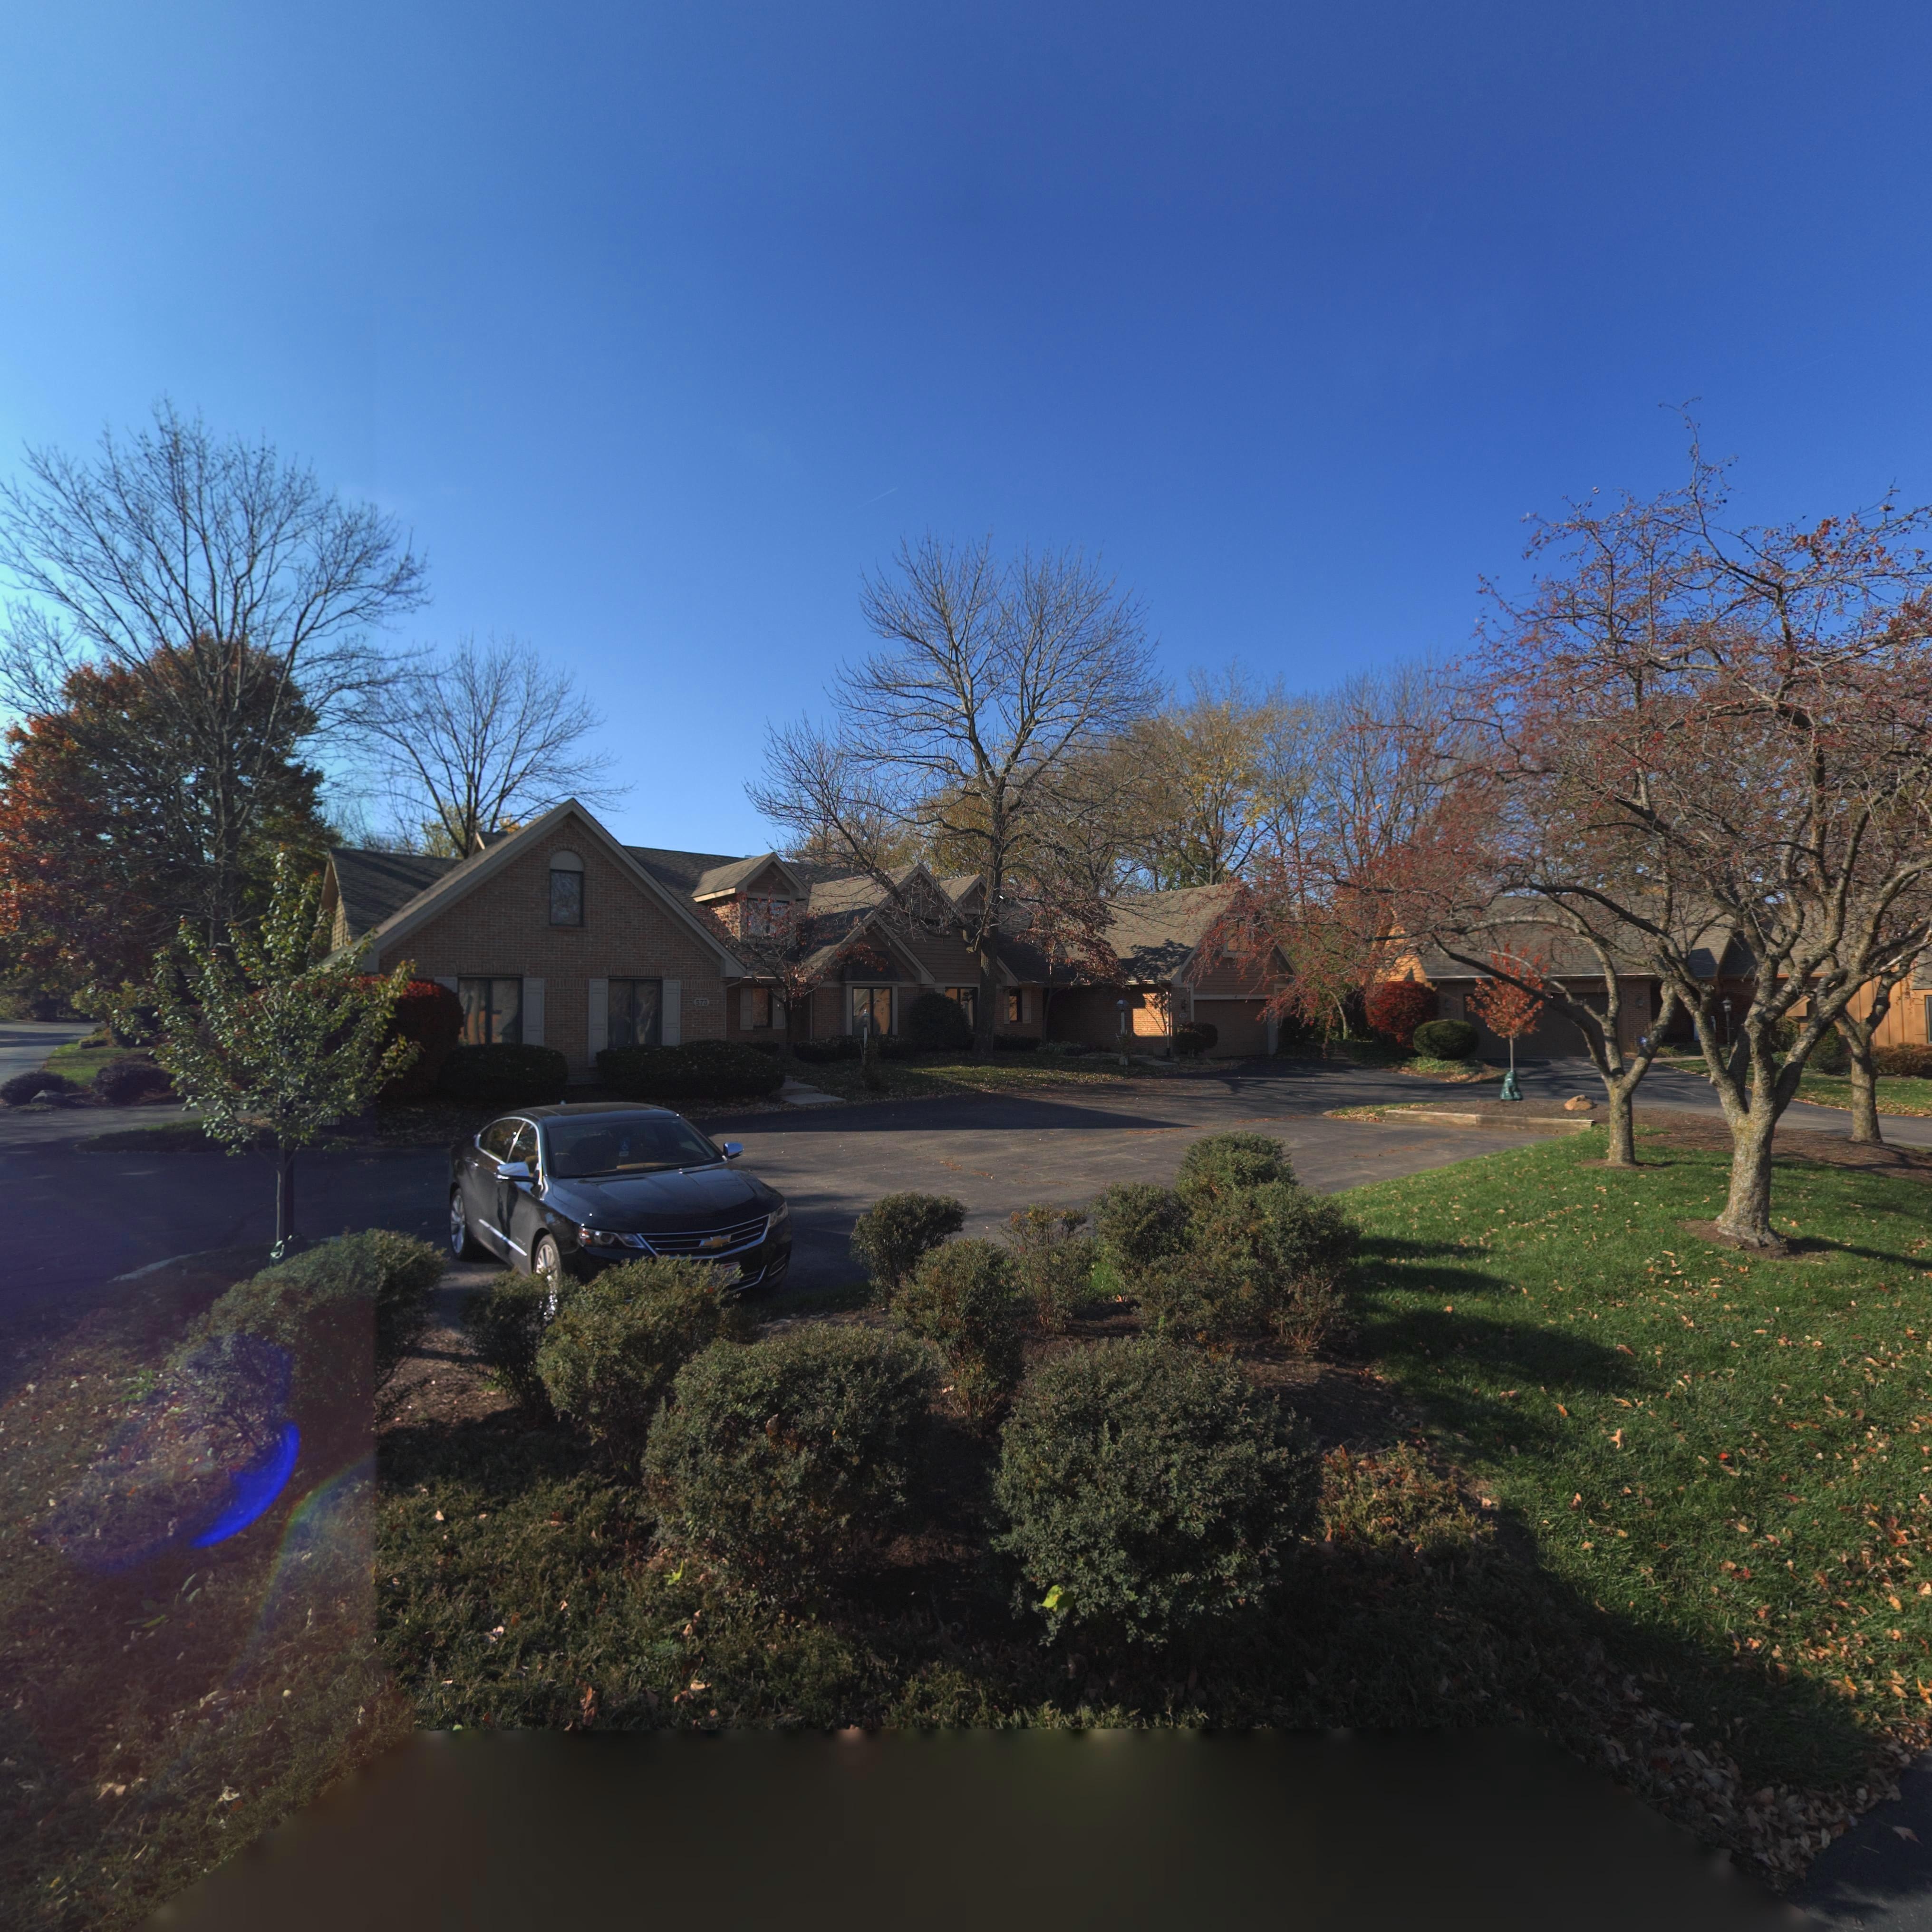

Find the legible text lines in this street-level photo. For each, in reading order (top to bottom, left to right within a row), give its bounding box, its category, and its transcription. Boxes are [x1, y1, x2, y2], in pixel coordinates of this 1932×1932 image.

[696, 999, 708, 1005] StreetNumber: 573